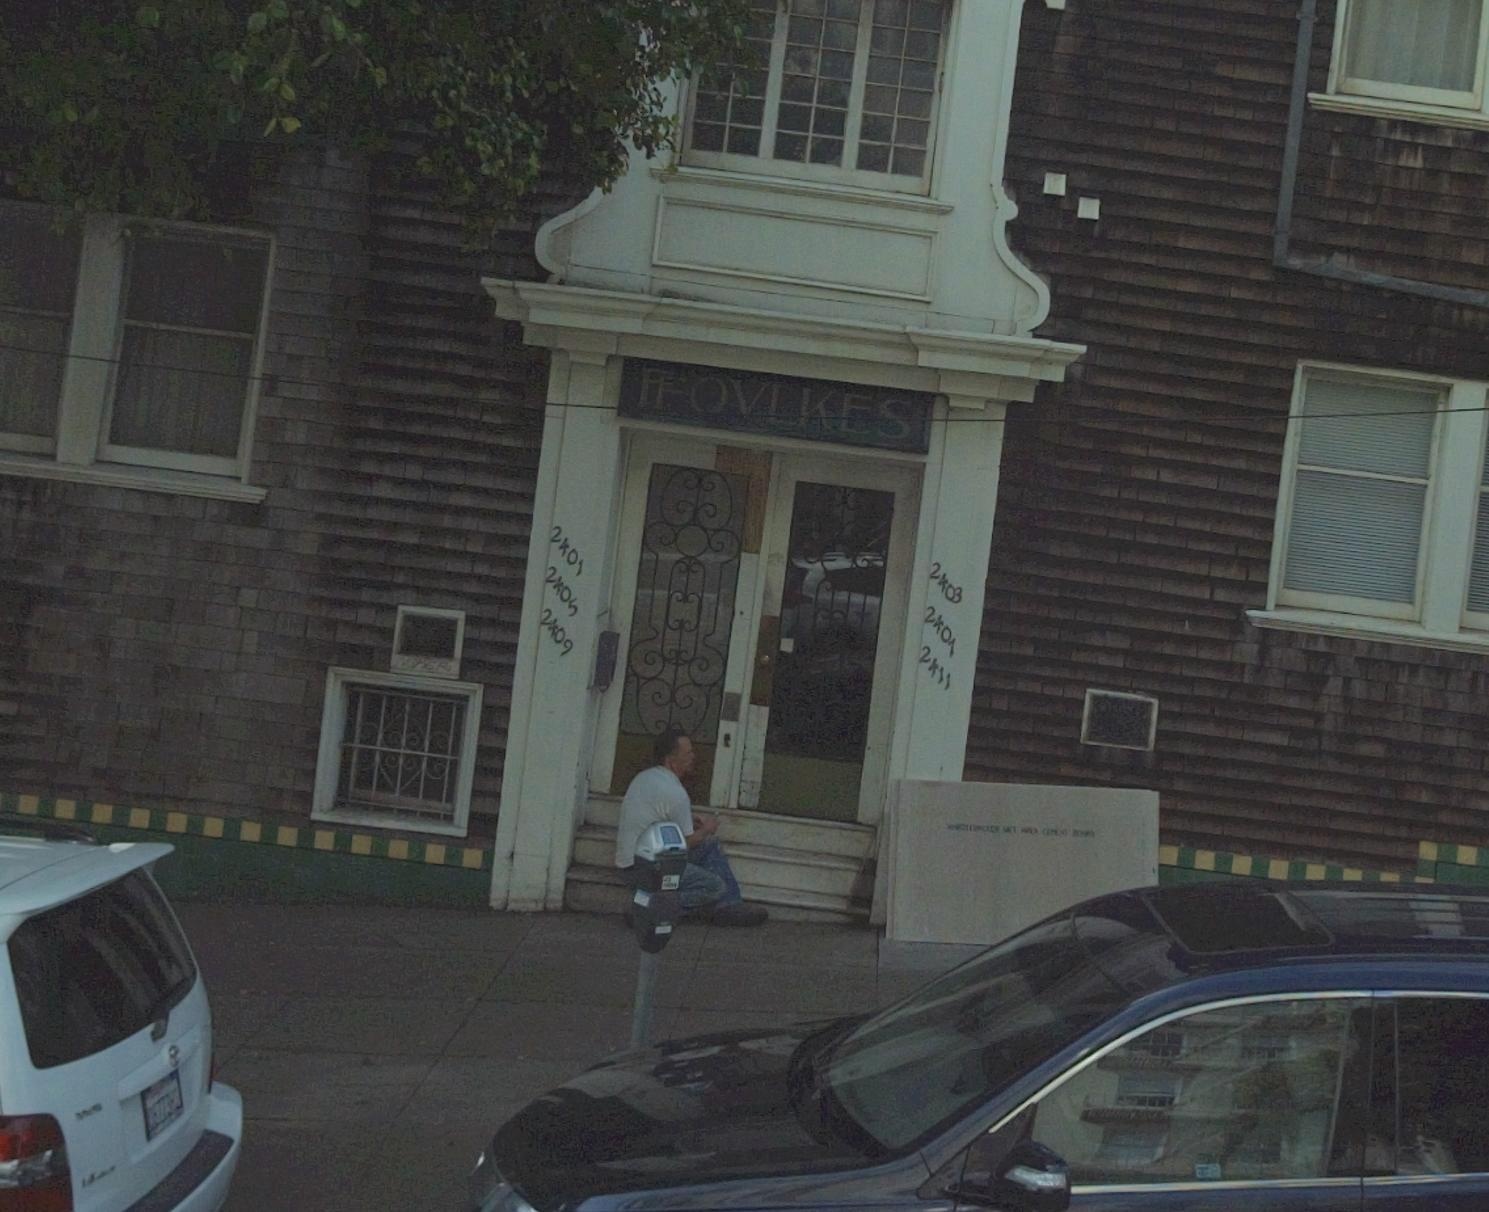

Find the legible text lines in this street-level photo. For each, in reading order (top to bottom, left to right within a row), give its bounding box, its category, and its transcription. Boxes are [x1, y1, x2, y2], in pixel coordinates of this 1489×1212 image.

[684, 369, 917, 444] BusinessName: OVLKES
[547, 523, 587, 580] StreetNumber: 2401
[540, 560, 583, 621] StreetNumber: 2405
[923, 559, 965, 608] StreetNumber: 2408
[536, 605, 577, 661] StreetNumber: 2409
[921, 602, 960, 662] StreetNumber: 2407
[914, 643, 954, 697] StreetNumber: 2411